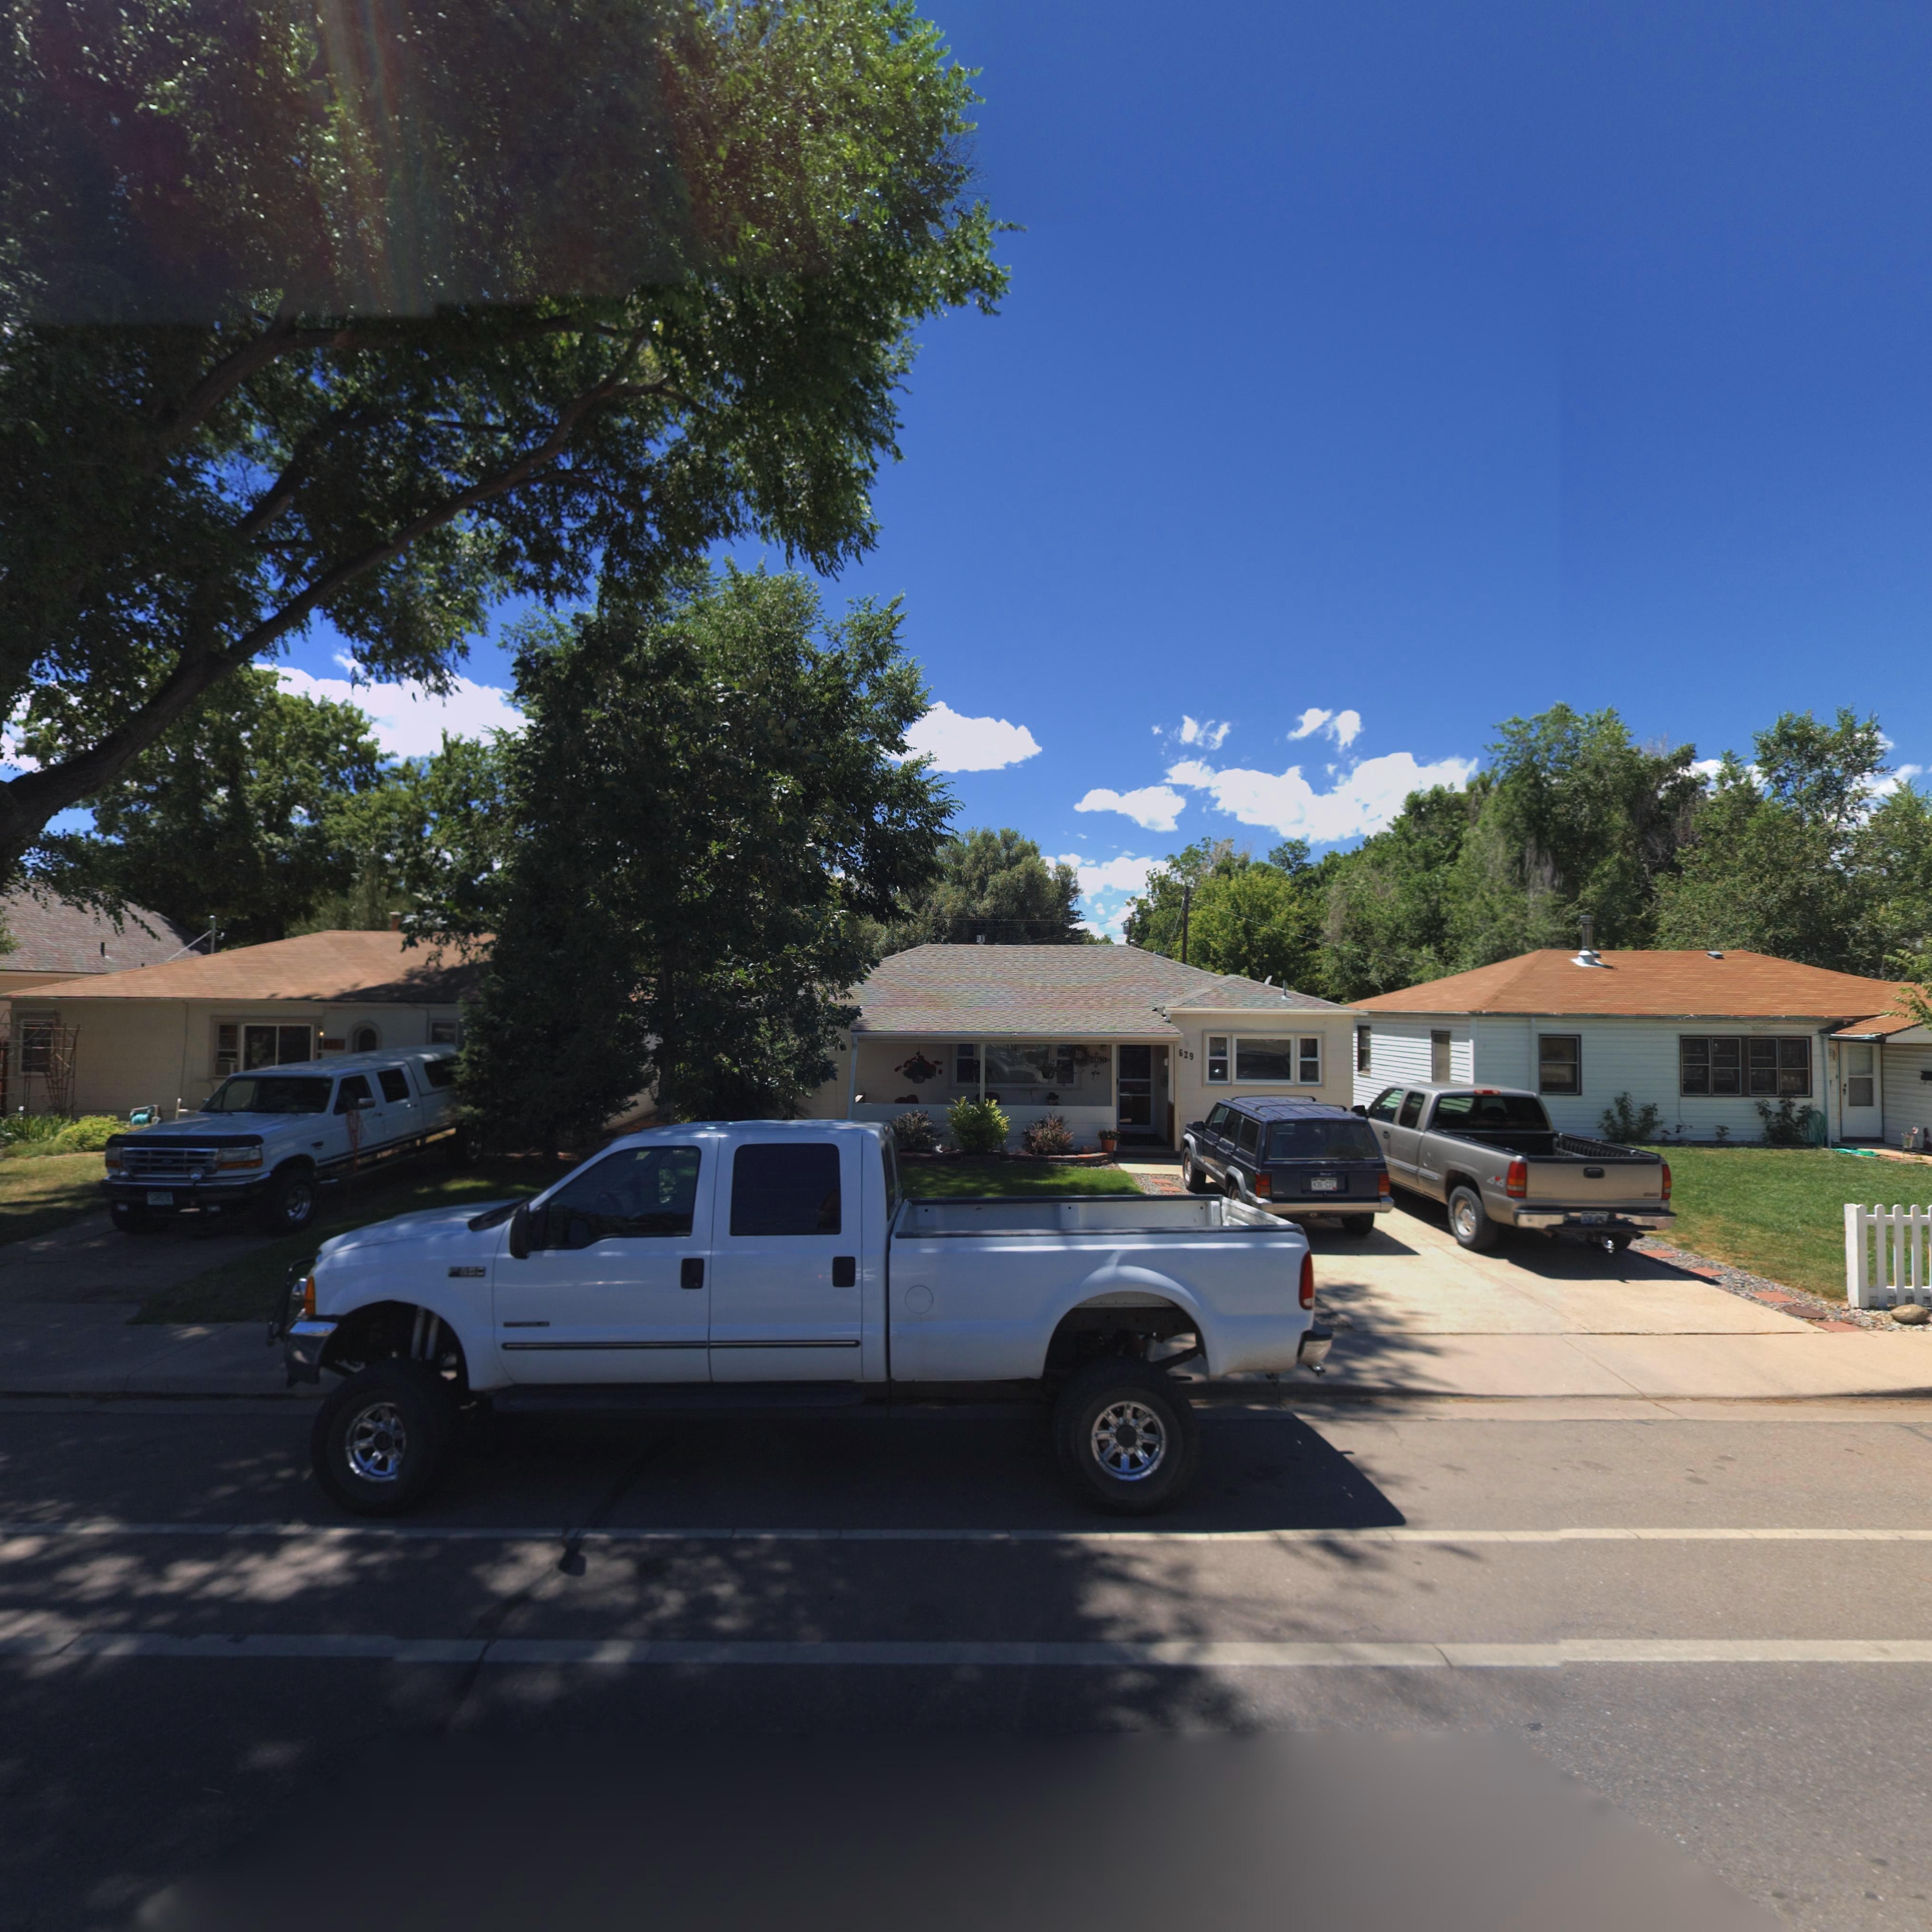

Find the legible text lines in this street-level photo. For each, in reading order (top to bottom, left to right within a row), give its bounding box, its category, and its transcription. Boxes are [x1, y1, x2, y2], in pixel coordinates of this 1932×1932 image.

[323, 1038, 339, 1050] StreetNumber: *25
[1179, 1048, 1193, 1061] StreetNumber: 629